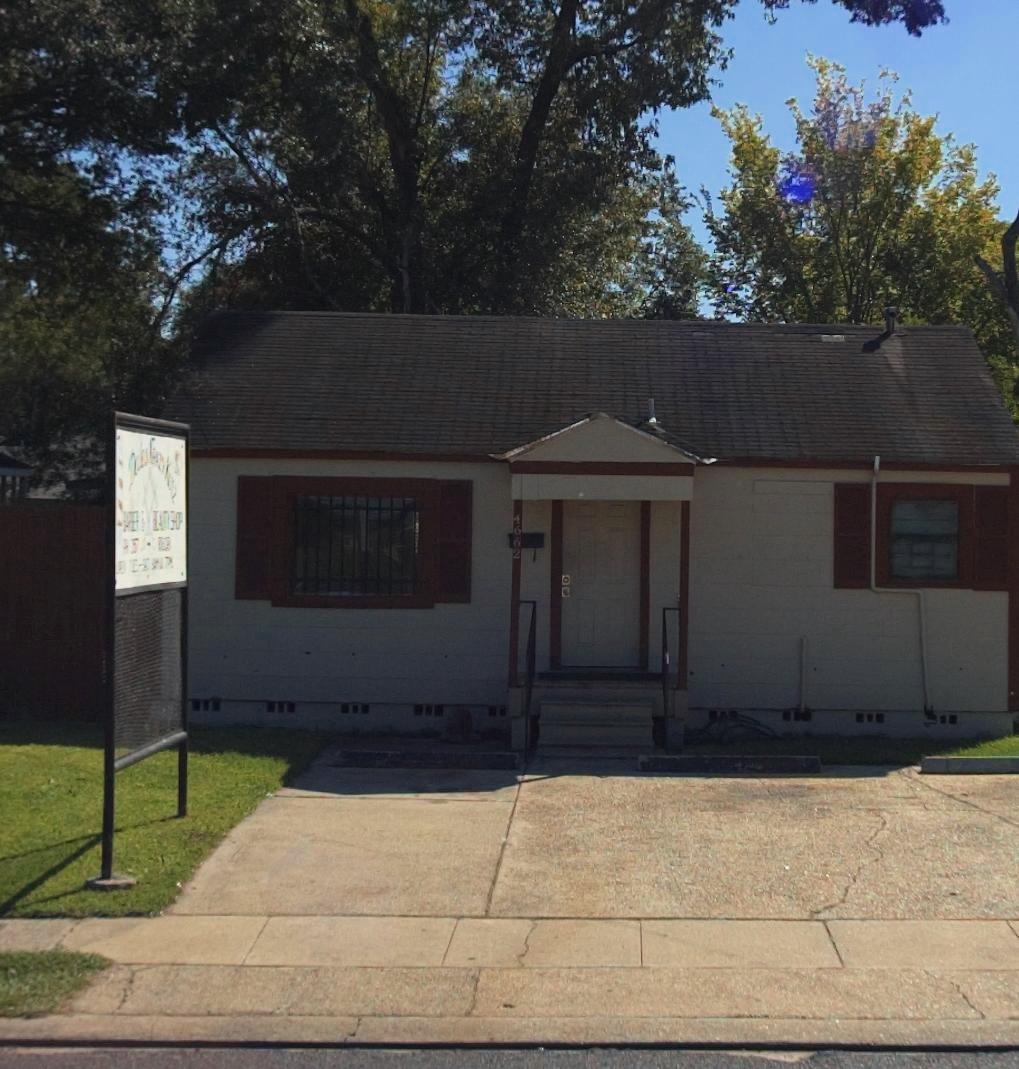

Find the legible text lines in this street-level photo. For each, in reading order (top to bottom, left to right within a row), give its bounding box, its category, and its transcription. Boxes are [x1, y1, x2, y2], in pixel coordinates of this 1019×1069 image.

[513, 513, 522, 561] StreetNumber: 4662